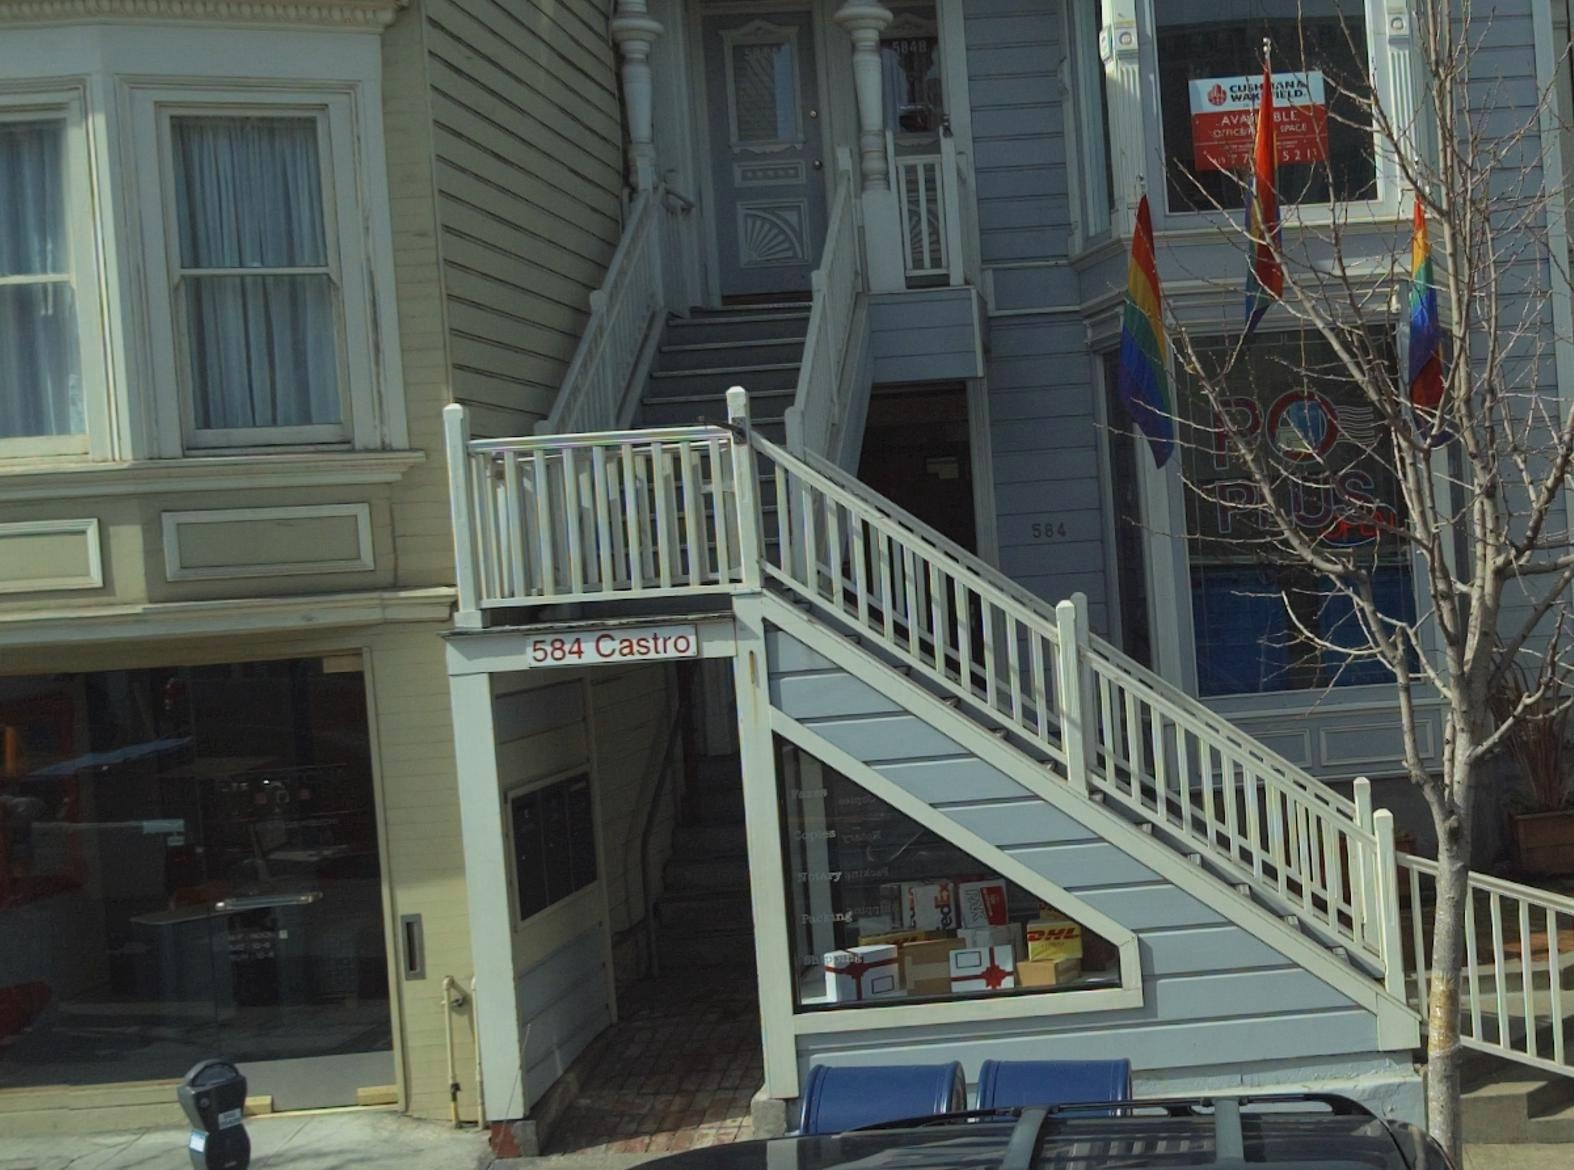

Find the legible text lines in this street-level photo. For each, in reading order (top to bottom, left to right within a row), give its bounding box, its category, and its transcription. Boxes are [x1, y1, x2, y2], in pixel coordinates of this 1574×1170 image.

[890, 37, 929, 57] StreetNumber: 584B
[1227, 78, 1310, 95] BusinessName: CUSH**N &
[1229, 88, 1307, 104] BusinessName: WAK**IELD
[1219, 107, 1300, 128] None: AVA***BLE
[1211, 125, 1250, 138] None: OFFICE
[1277, 121, 1309, 134] None: SPACE
[1280, 148, 1313, 163] None: *21
[1202, 382, 1385, 473] BusinessName: PO
[1211, 465, 1388, 543] BusinessName: P*U*
[1028, 520, 1069, 540] StreetNumber: 584
[529, 636, 585, 663] StreetNumber: 584
[592, 630, 693, 661] StreetName: Castro
[788, 786, 830, 803] None: Faxes
[790, 828, 839, 844] None: Copies
[795, 870, 845, 885] None: Notary
[800, 908, 856, 928] None: Packing
[802, 950, 866, 968] None: Shipping